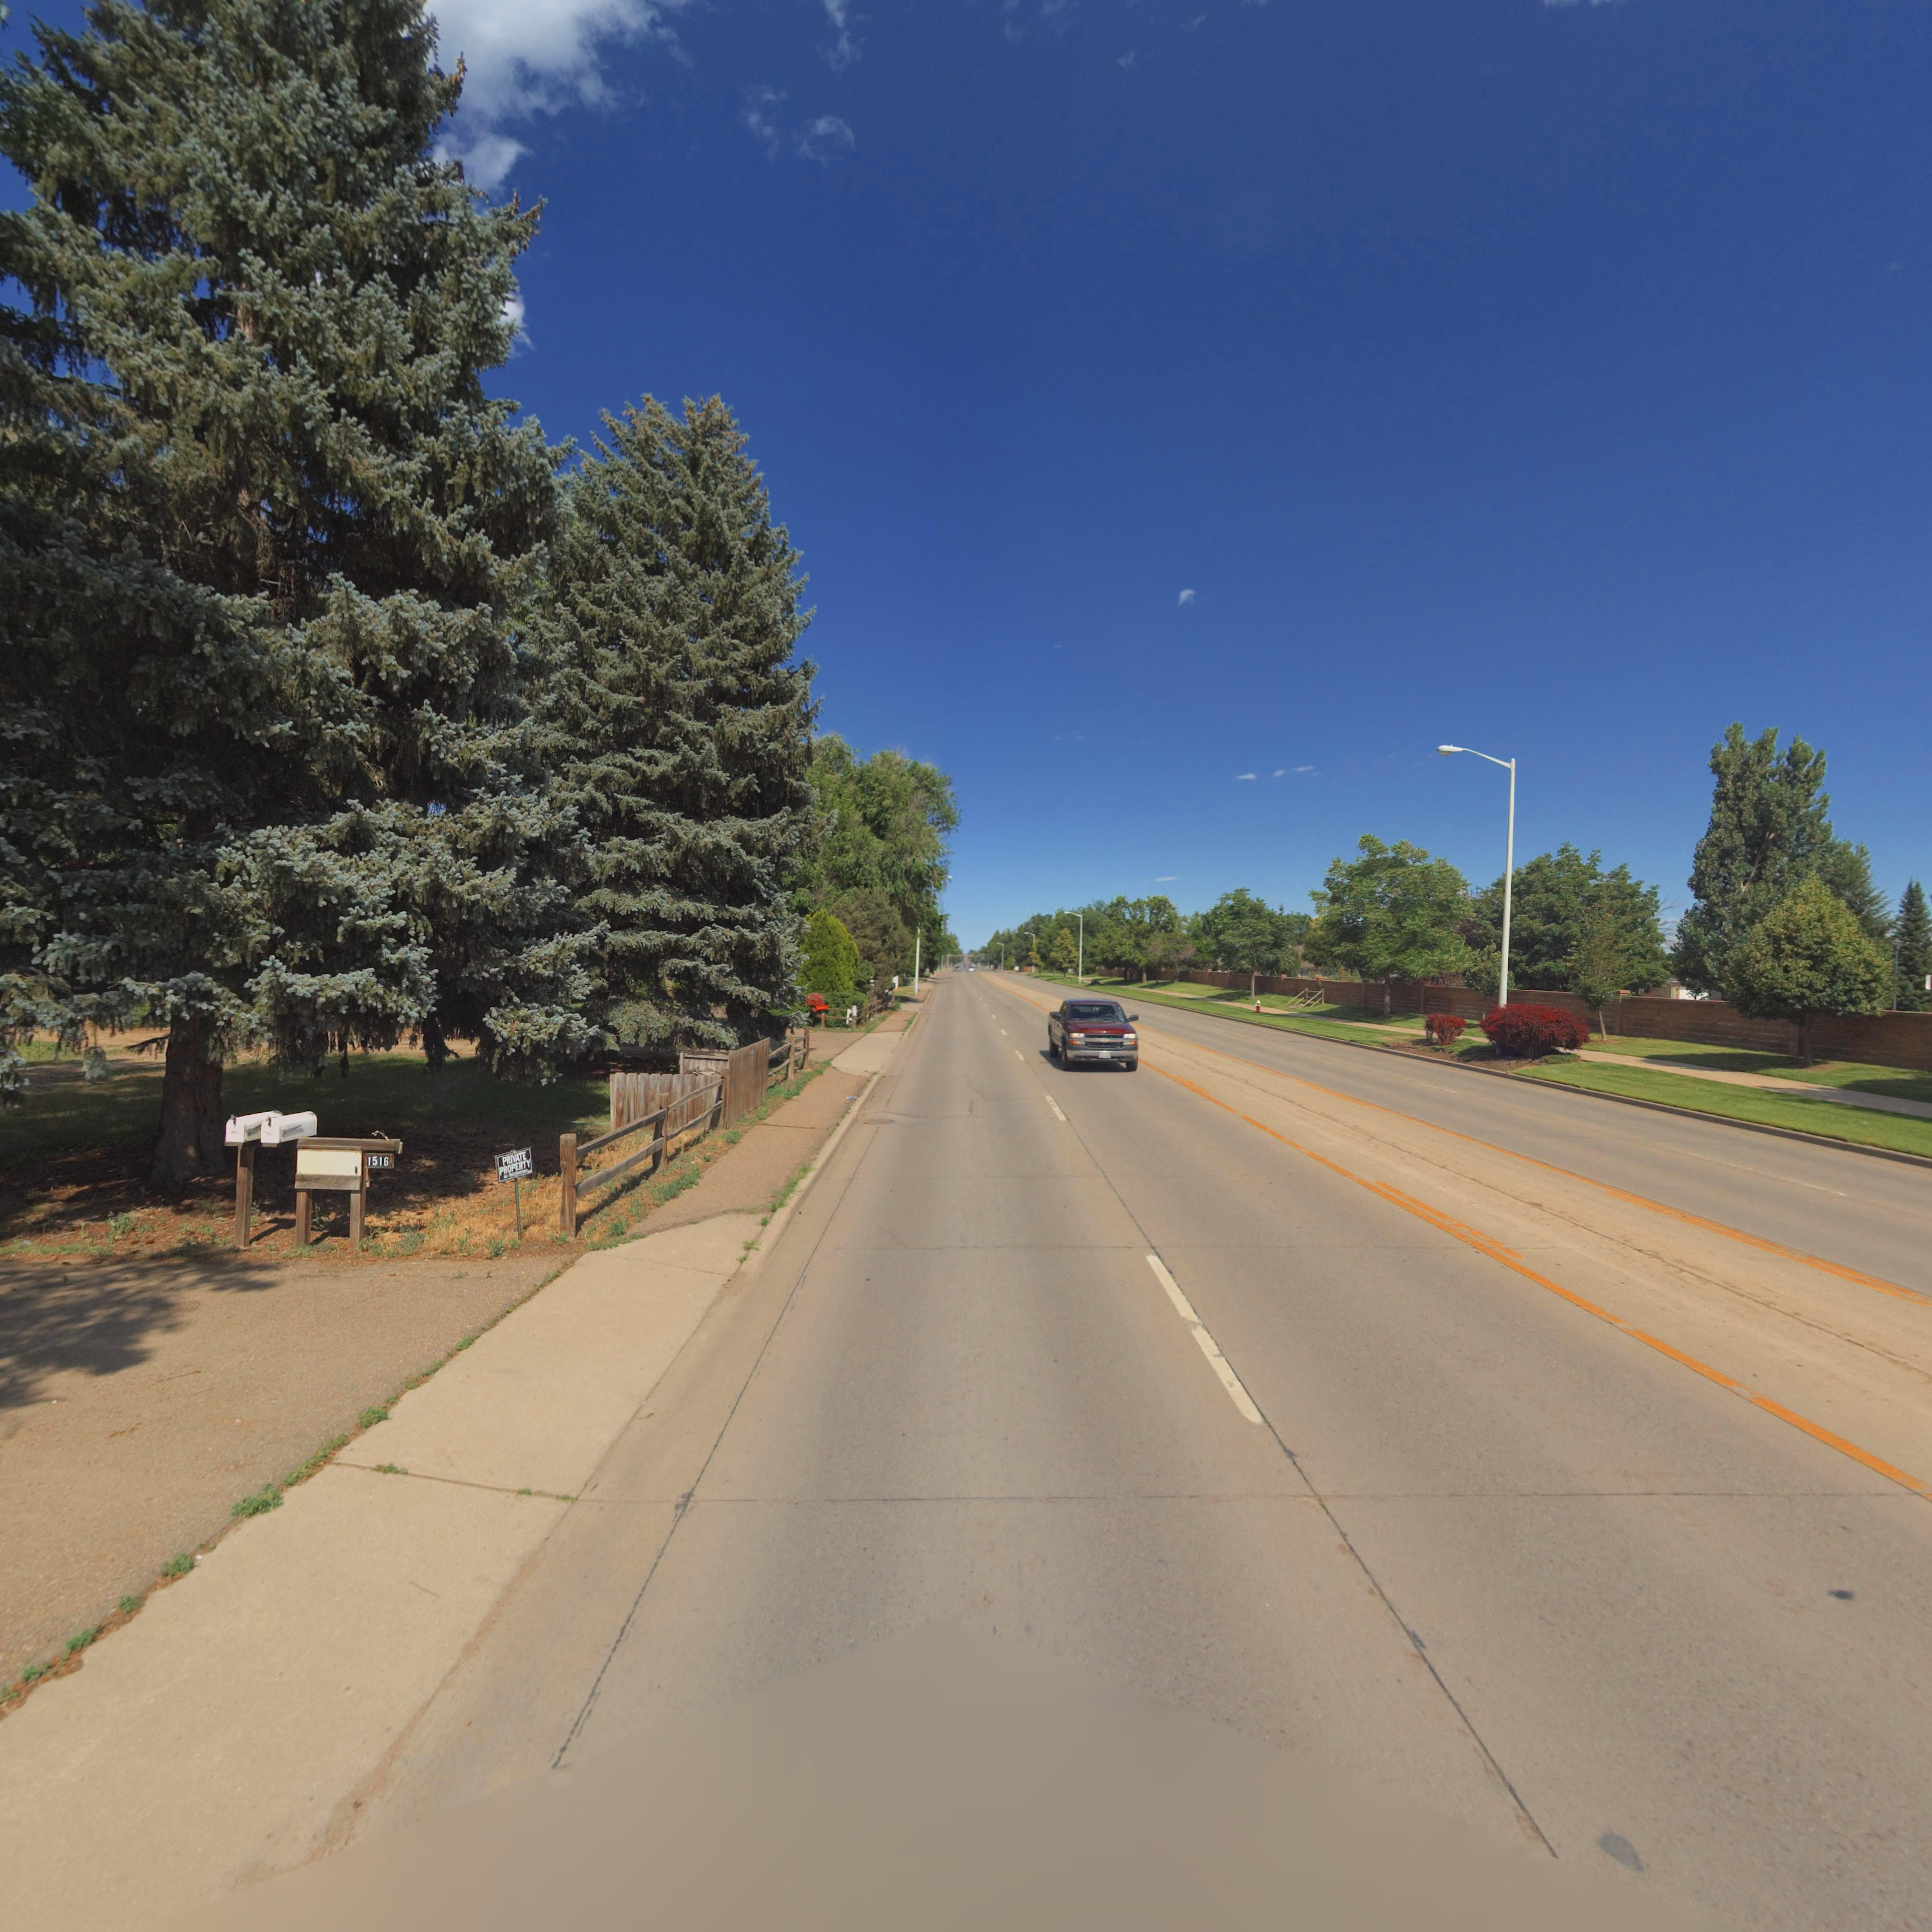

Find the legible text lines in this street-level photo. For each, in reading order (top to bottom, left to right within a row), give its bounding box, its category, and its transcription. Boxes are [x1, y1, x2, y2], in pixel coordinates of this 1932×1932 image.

[367, 1155, 389, 1167] StreetNumber: 1516